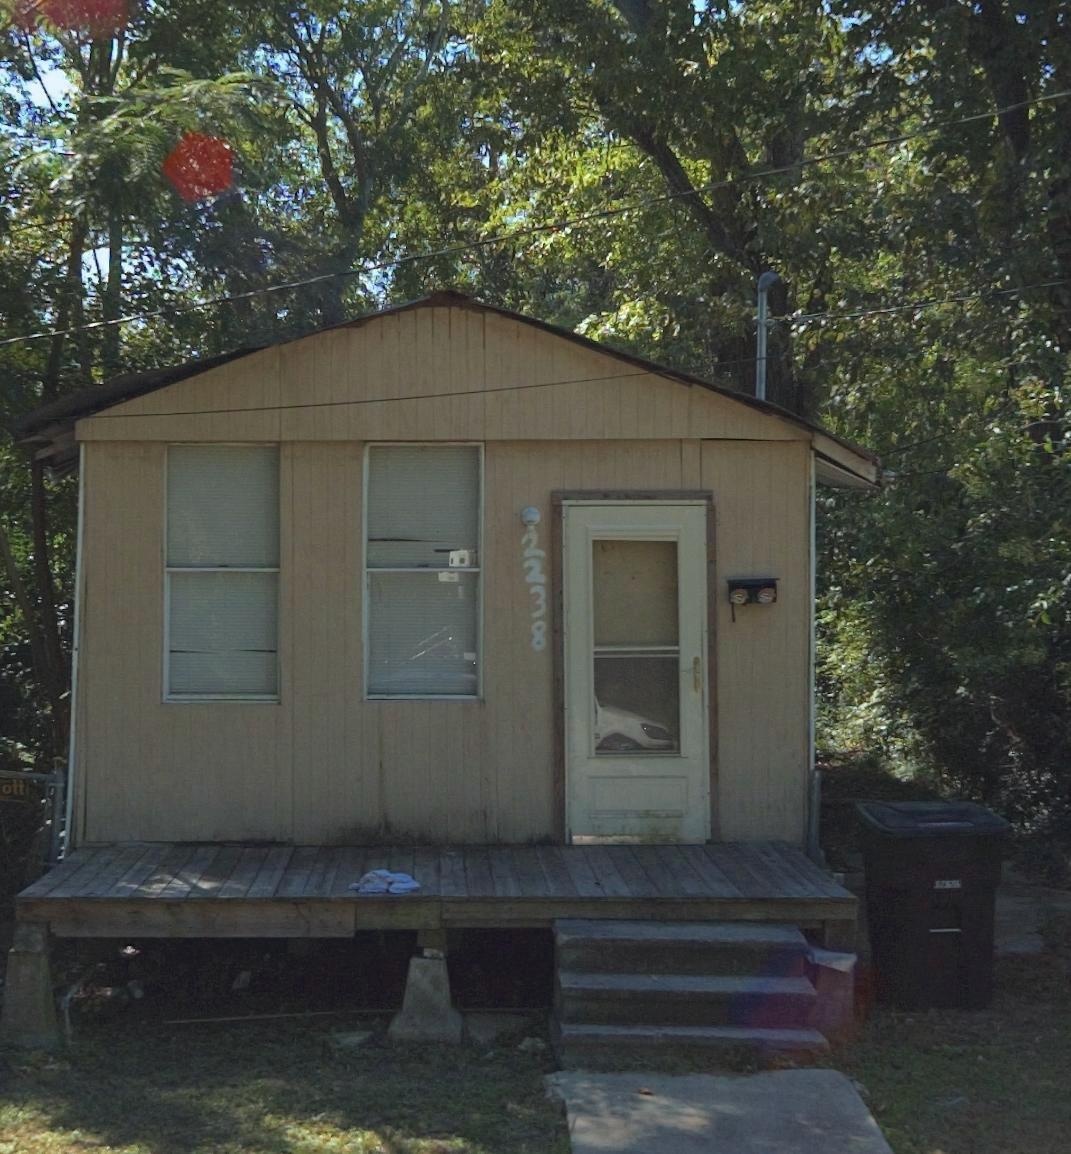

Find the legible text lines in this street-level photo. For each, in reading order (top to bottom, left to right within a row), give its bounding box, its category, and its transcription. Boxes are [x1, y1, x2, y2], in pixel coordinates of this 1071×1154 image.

[519, 528, 551, 654] StreetNumber: 2238